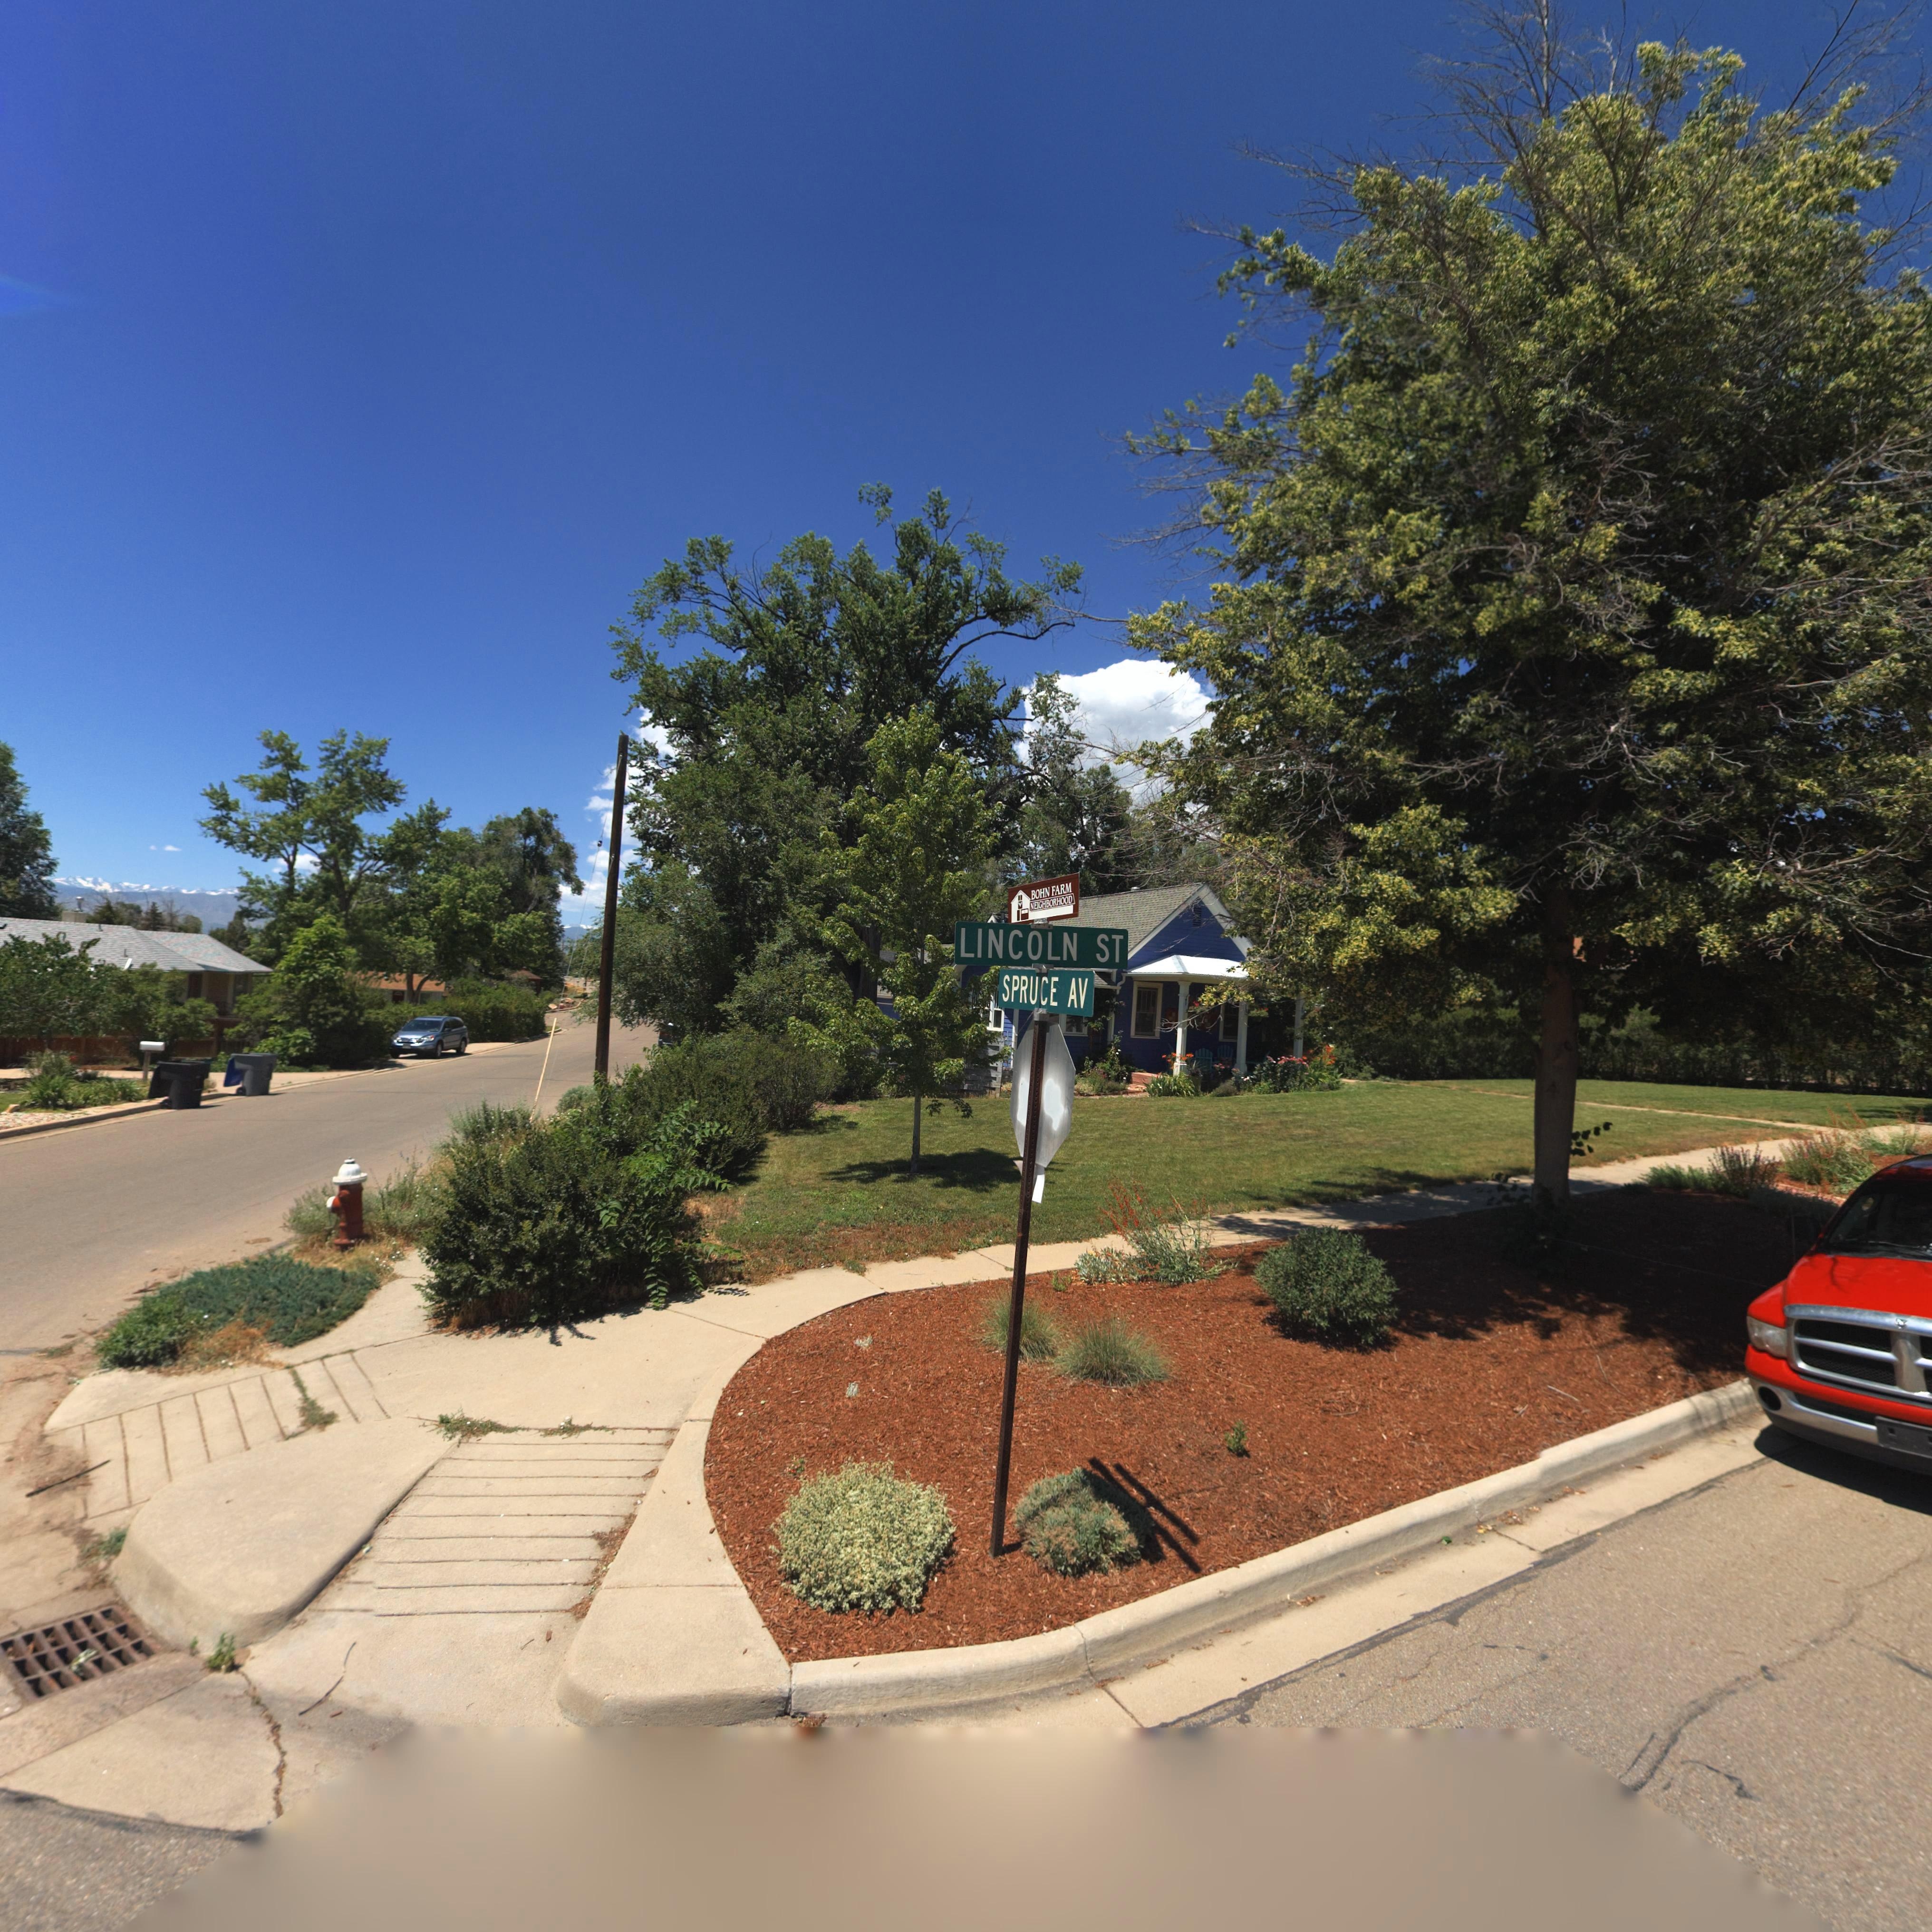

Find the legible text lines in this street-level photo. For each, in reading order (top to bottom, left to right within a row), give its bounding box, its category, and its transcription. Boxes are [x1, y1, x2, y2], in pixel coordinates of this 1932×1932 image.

[960, 927, 1123, 964] StreetName: LINCOLN ST
[1002, 974, 1089, 1009] StreetName: SPRUCE AV